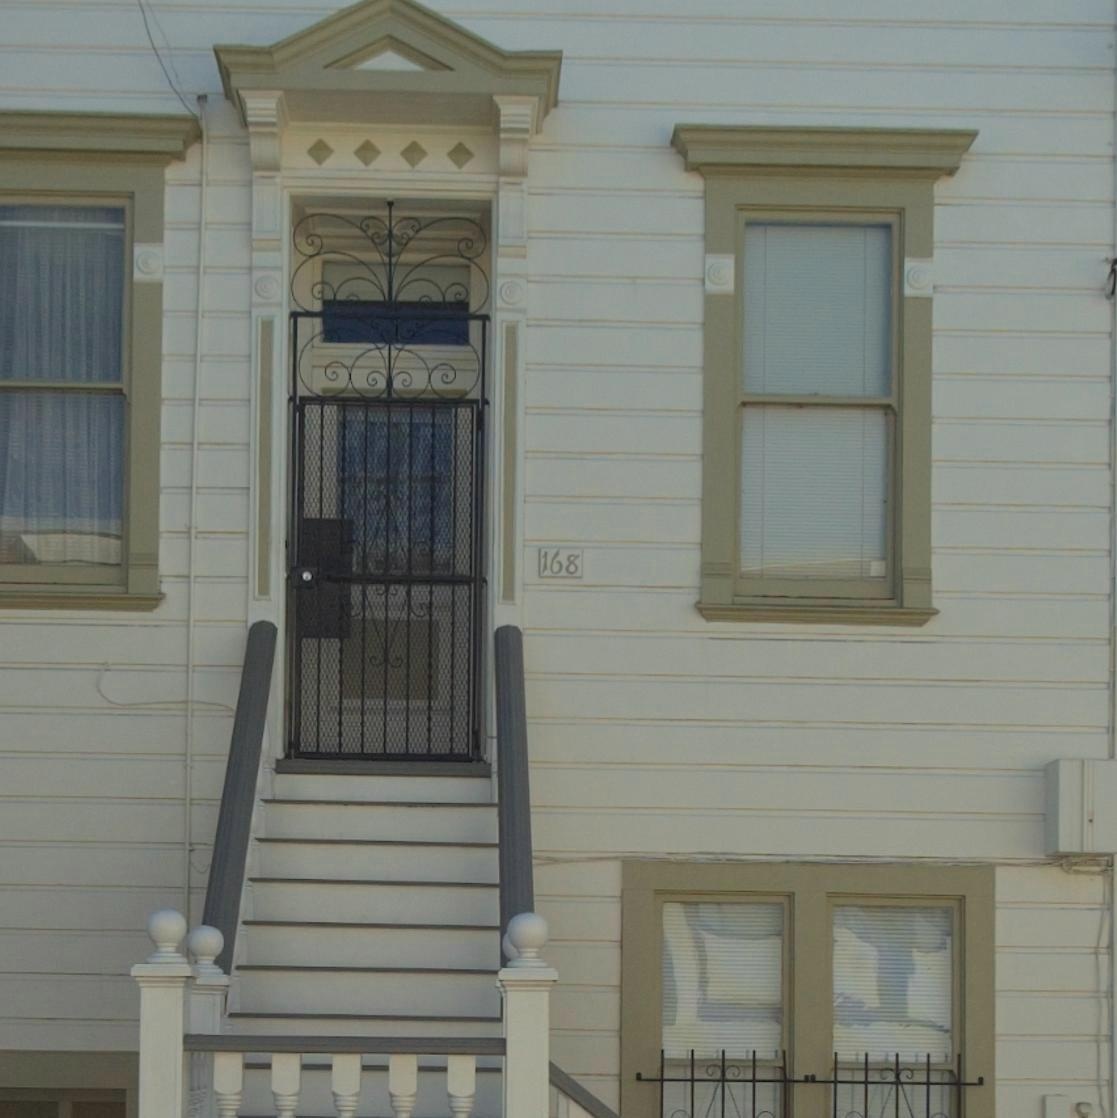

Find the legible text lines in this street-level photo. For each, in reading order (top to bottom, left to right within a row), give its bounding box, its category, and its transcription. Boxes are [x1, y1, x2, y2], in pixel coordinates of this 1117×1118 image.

[540, 548, 581, 576] StreetNumber: 168